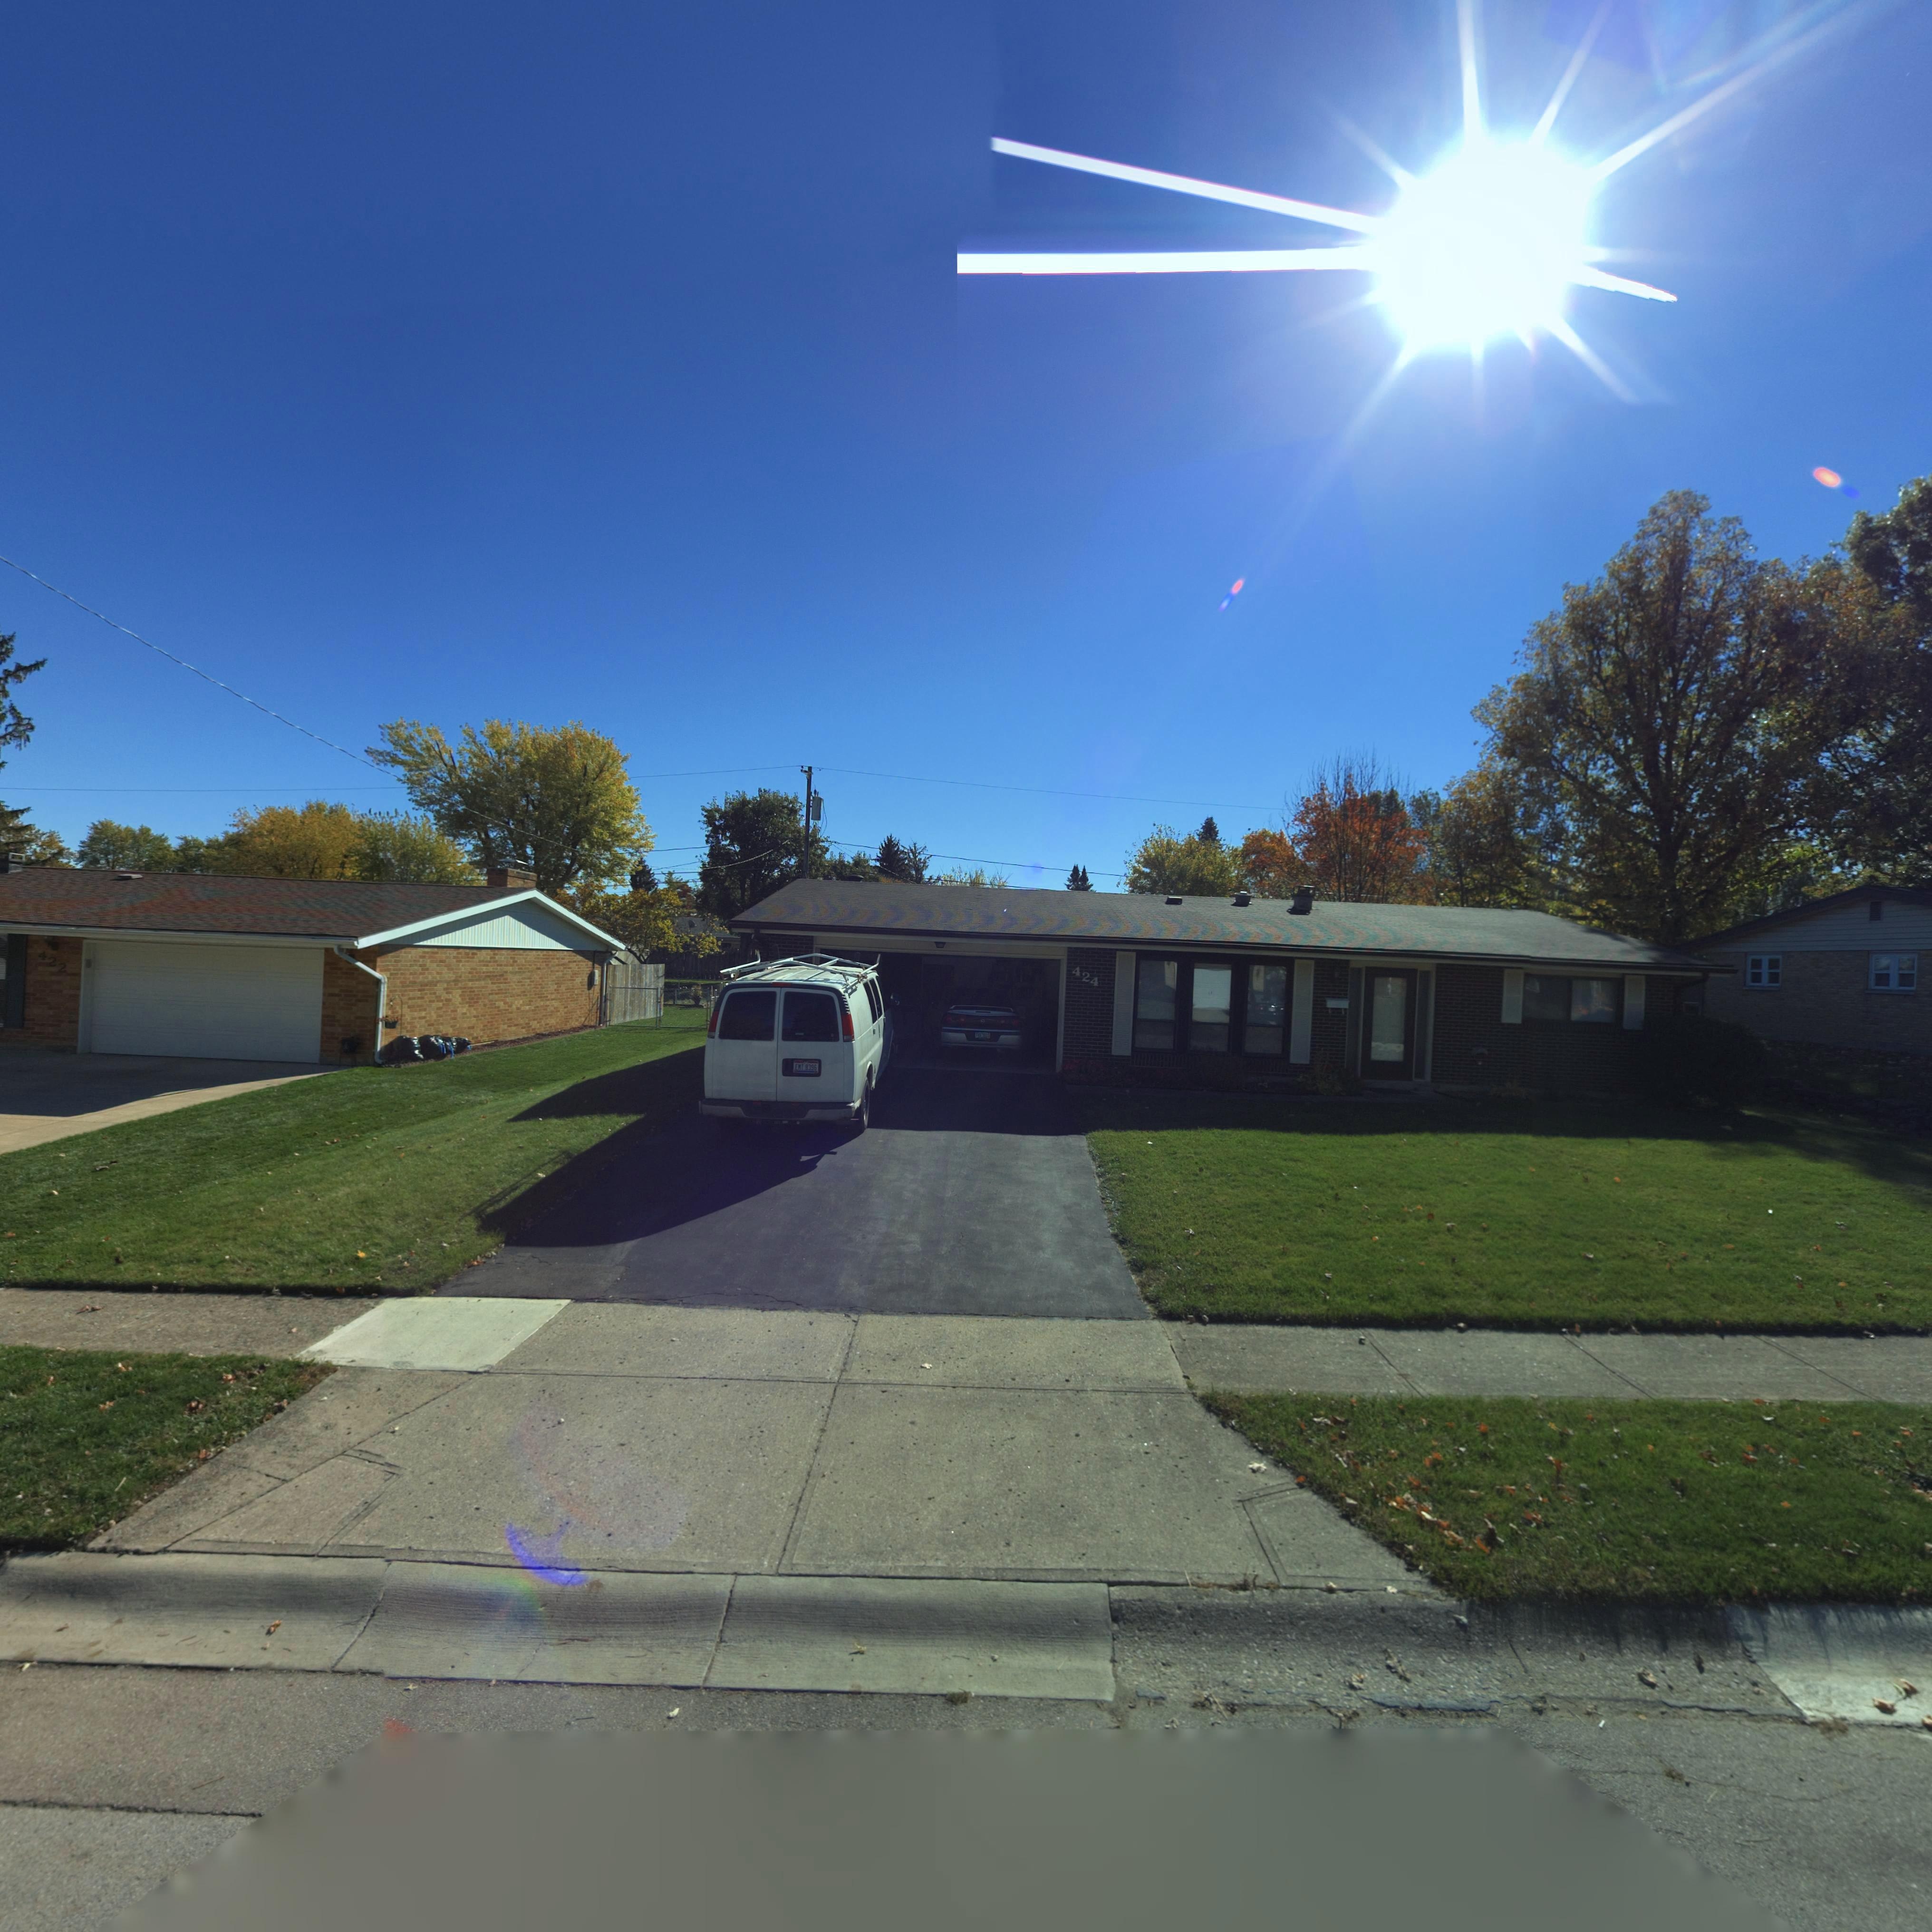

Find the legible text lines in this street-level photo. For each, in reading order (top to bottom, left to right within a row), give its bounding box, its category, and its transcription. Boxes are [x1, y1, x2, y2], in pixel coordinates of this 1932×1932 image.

[37, 949, 68, 974] StreetNumber: 422
[1071, 965, 1100, 988] StreetNumber: 424
[794, 1063, 818, 1072] None: EMT*8395